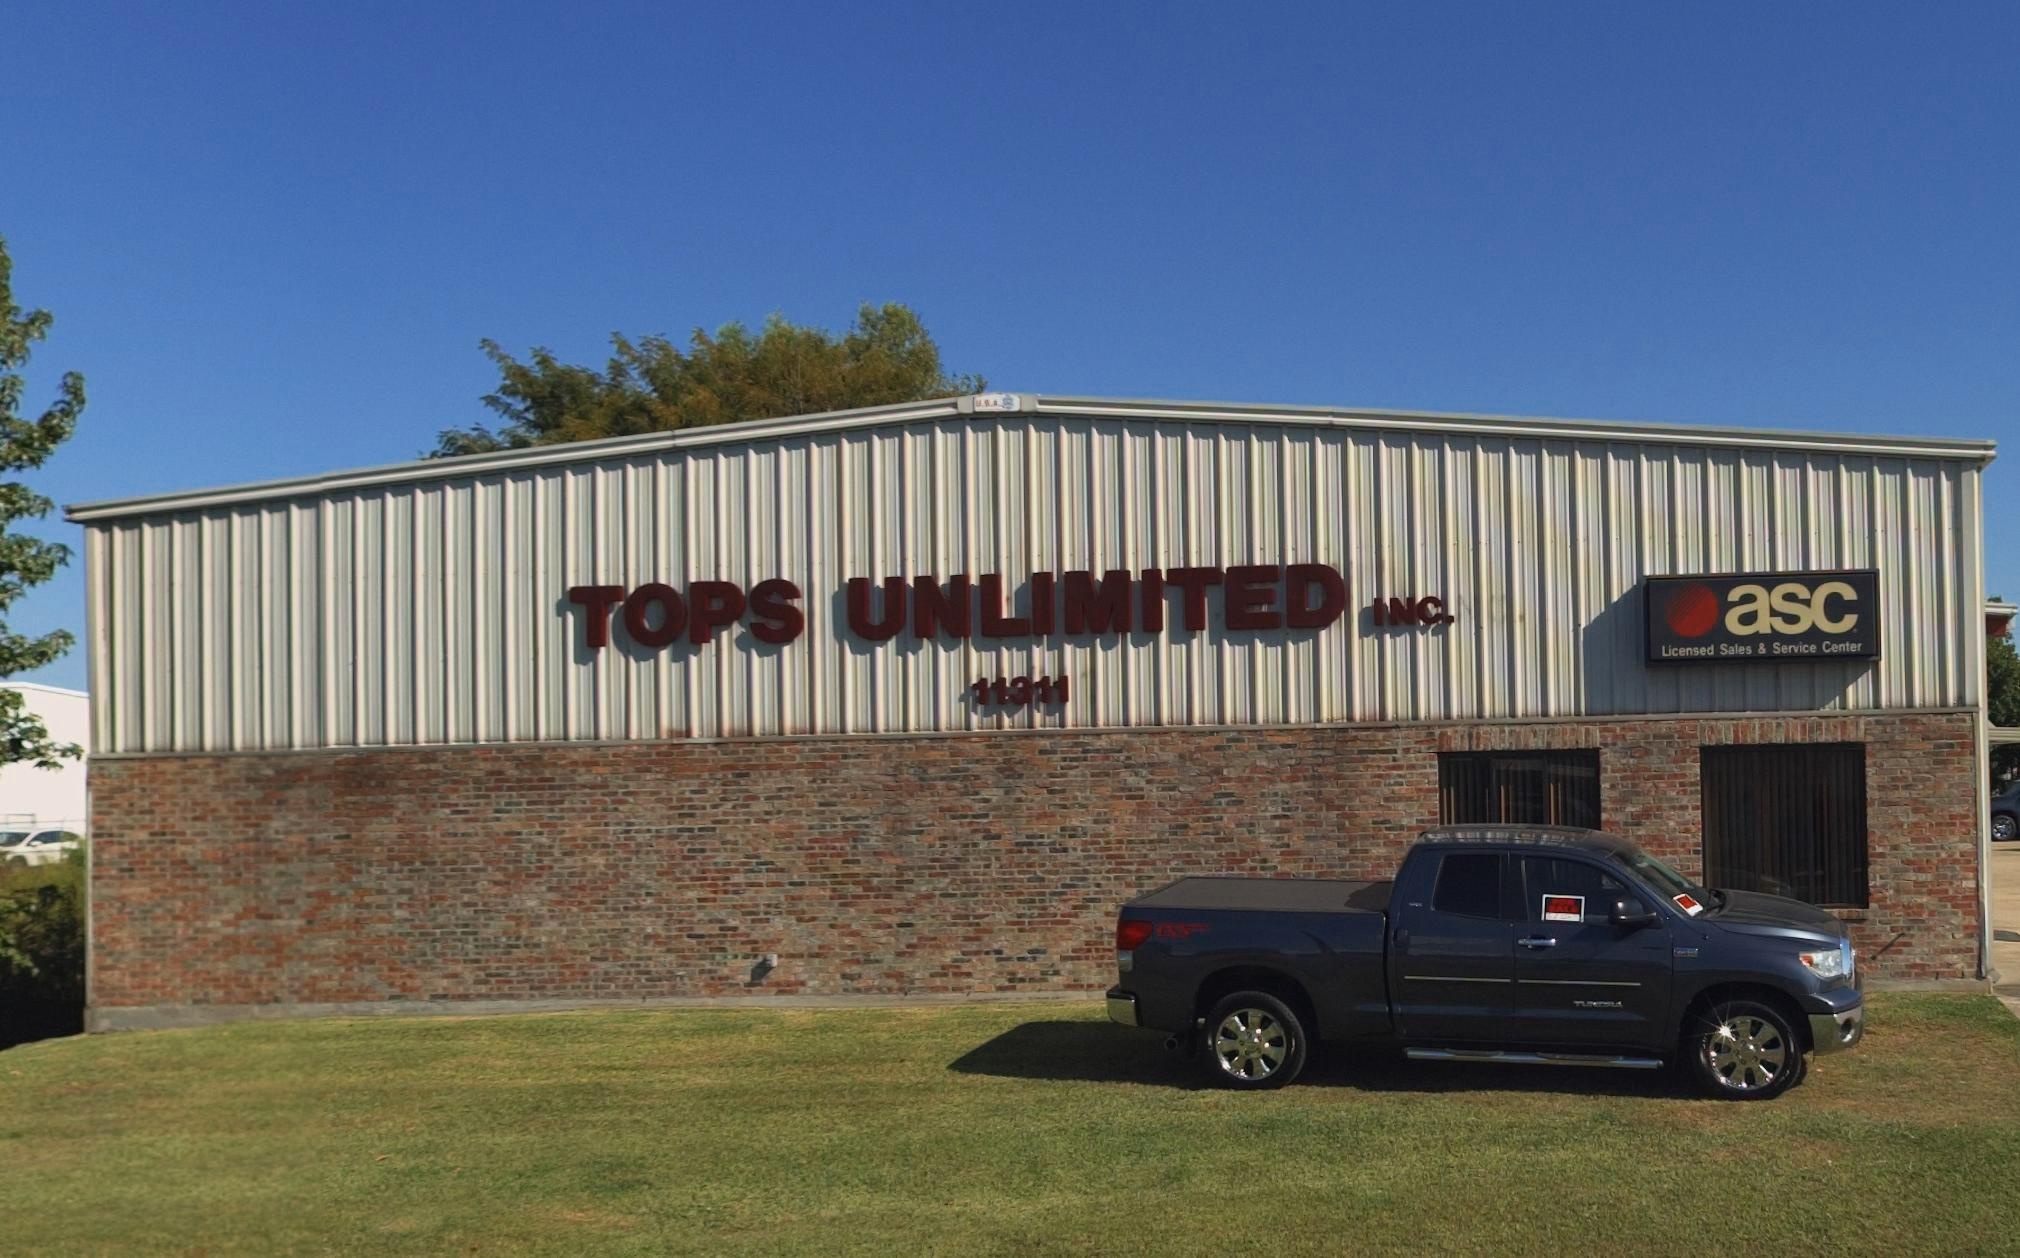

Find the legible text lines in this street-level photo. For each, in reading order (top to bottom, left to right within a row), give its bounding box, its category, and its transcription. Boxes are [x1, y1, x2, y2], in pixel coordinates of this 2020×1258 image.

[562, 556, 1462, 654] BusinessName: TOPS UNLIMITED INC.
[1720, 577, 1862, 639] BusinessName: asc
[1659, 637, 1866, 660] None: Licensed Sales & Service Center
[968, 671, 1073, 707] StreetNumber: 11311
[1546, 903, 1580, 916] None: SALE
[1550, 896, 1578, 907] None: FOR